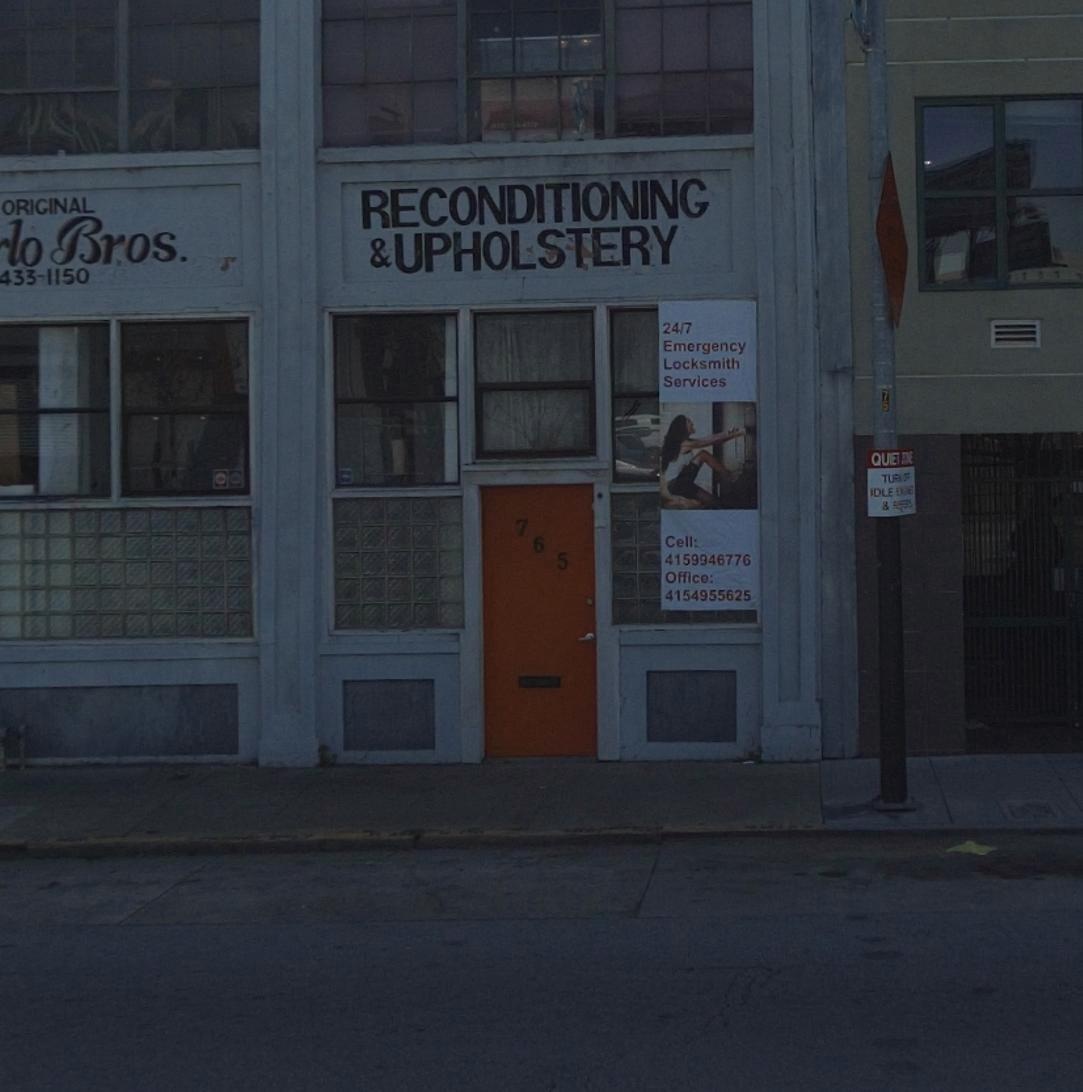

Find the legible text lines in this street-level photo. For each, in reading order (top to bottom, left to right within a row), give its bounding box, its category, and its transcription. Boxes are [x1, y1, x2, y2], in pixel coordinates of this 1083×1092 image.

[1, 195, 98, 216] None: ORIGINAL
[358, 177, 710, 231] None: RECONDITIONING
[5, 213, 193, 267] BusinessName: lo Bros.
[367, 223, 681, 276] None: &UPHOLSTERY
[0, 265, 91, 287] None: 433-1150
[661, 320, 694, 336] None: 24/7
[663, 340, 747, 357] None: Emergency
[662, 356, 743, 370] None: Locksmith
[662, 374, 726, 388] None: Services
[870, 451, 901, 467] None: QUIET
[880, 473, 895, 484] None: TU
[868, 487, 895, 497] None: IDLE
[881, 500, 890, 511] None: &
[506, 511, 580, 579] StreetNumber: 765
[664, 534, 699, 548] None: Cell:
[663, 552, 752, 566] None: 4159946776
[665, 571, 714, 584] None: Office:
[664, 589, 752, 602] None: 4154955625